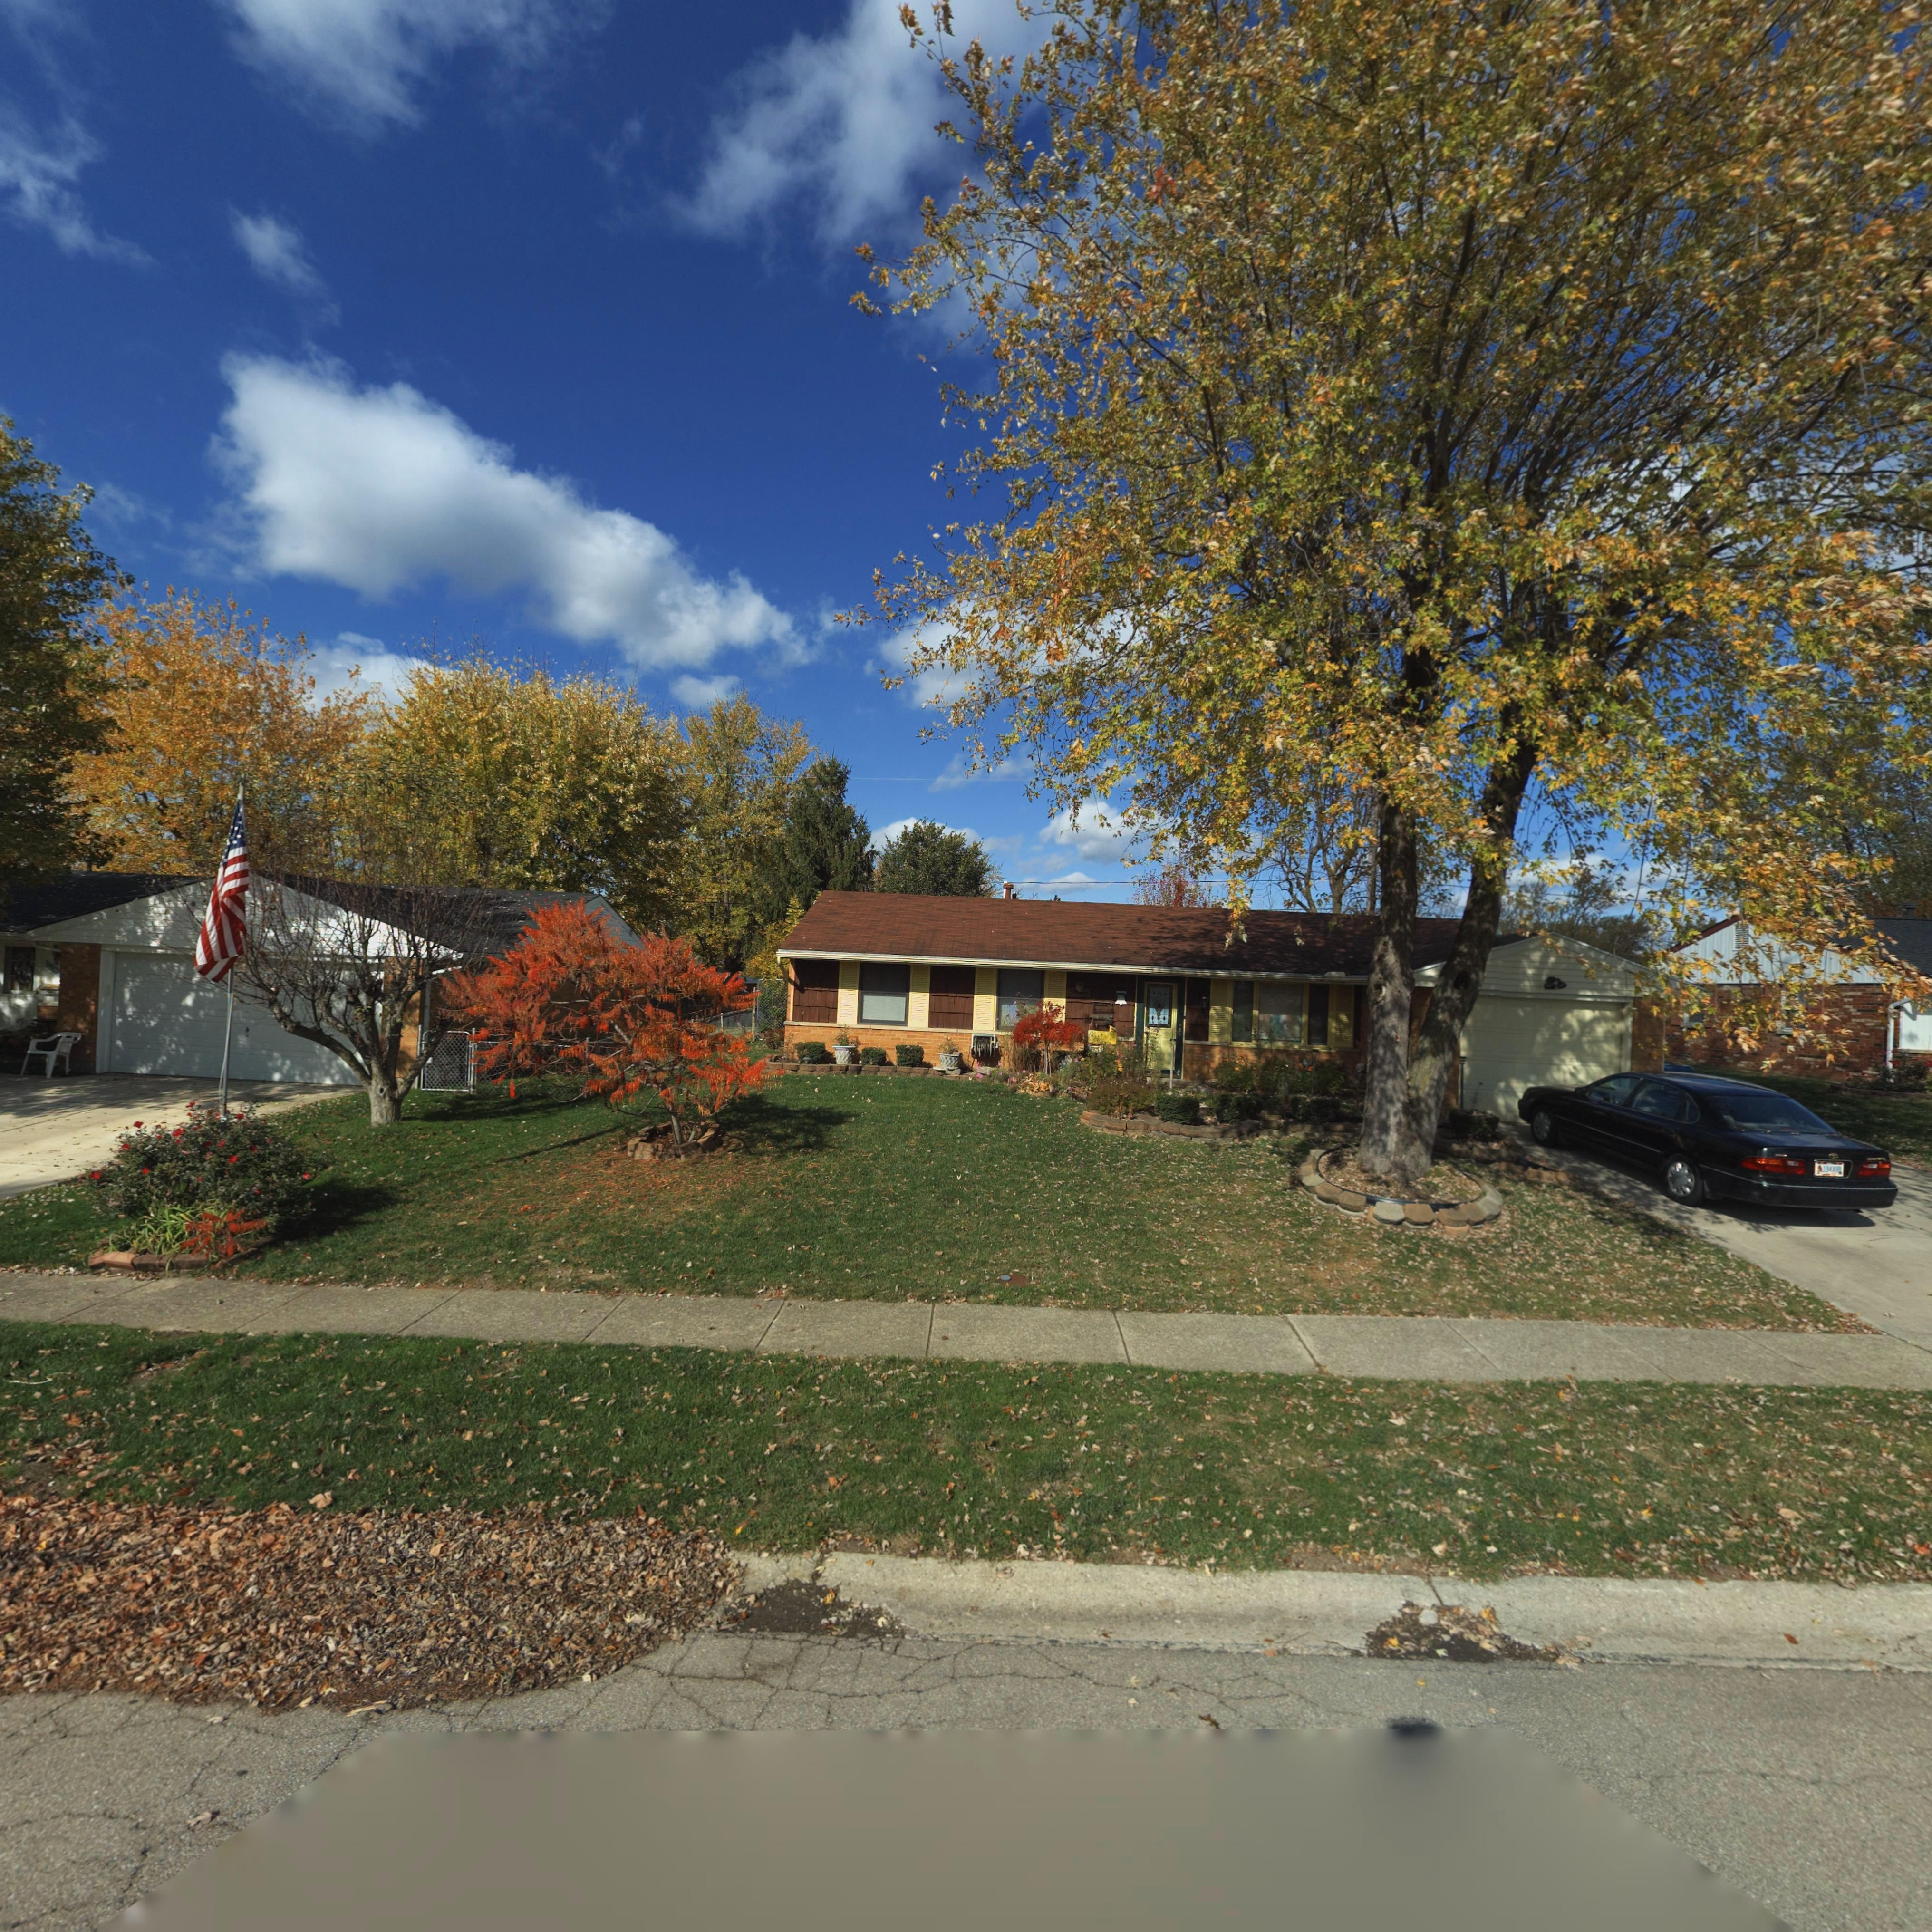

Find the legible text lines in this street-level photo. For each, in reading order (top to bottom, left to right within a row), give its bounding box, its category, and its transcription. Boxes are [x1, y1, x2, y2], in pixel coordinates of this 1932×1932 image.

[44, 958, 60, 975] StreetNumber: 7**7